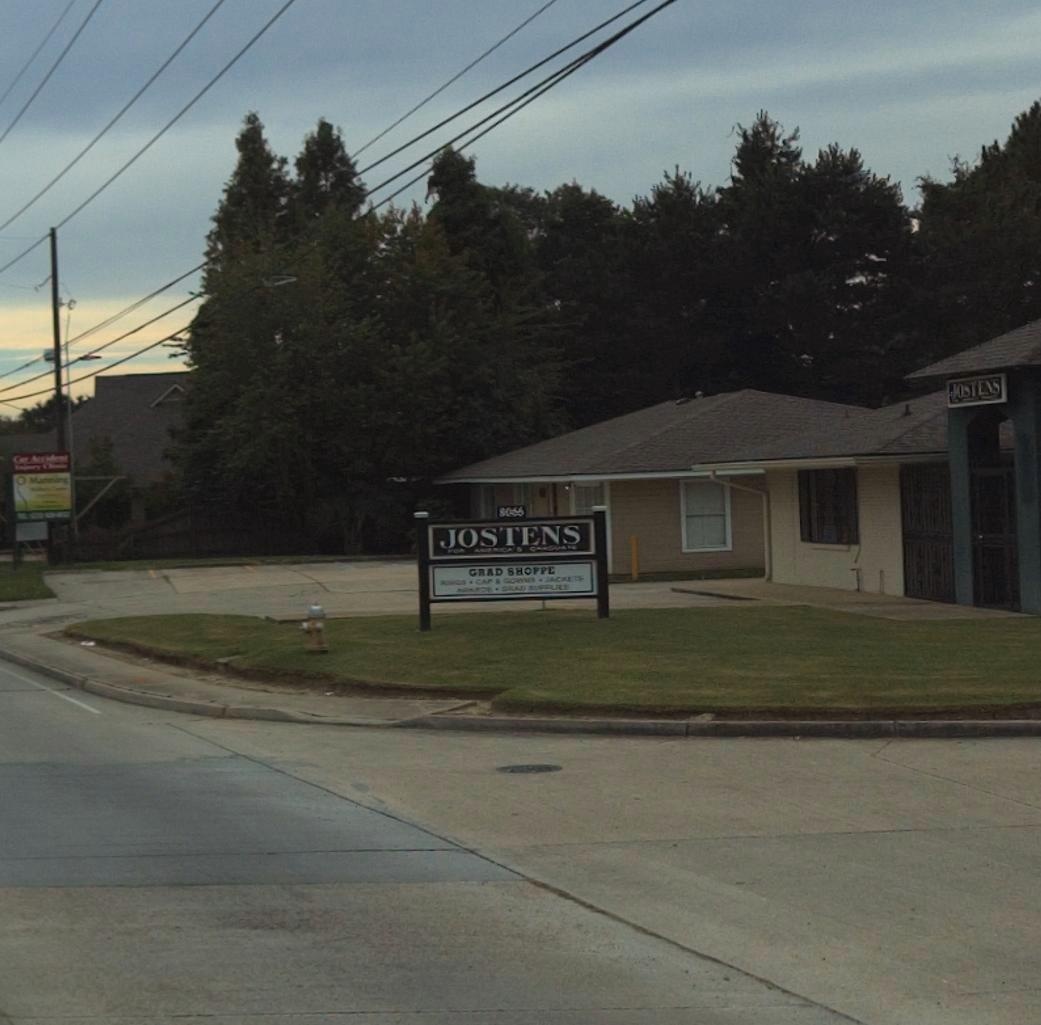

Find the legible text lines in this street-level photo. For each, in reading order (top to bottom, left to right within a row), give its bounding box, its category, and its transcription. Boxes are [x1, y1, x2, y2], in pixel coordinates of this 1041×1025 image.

[949, 378, 1000, 401] None: JOSTENS
[499, 506, 524, 518] StreetNumber: 8066
[438, 524, 582, 550] None: JOSTENS
[468, 565, 555, 577] None: GRAD SHOPPE
[475, 576, 538, 585] None: CAP & GOWN